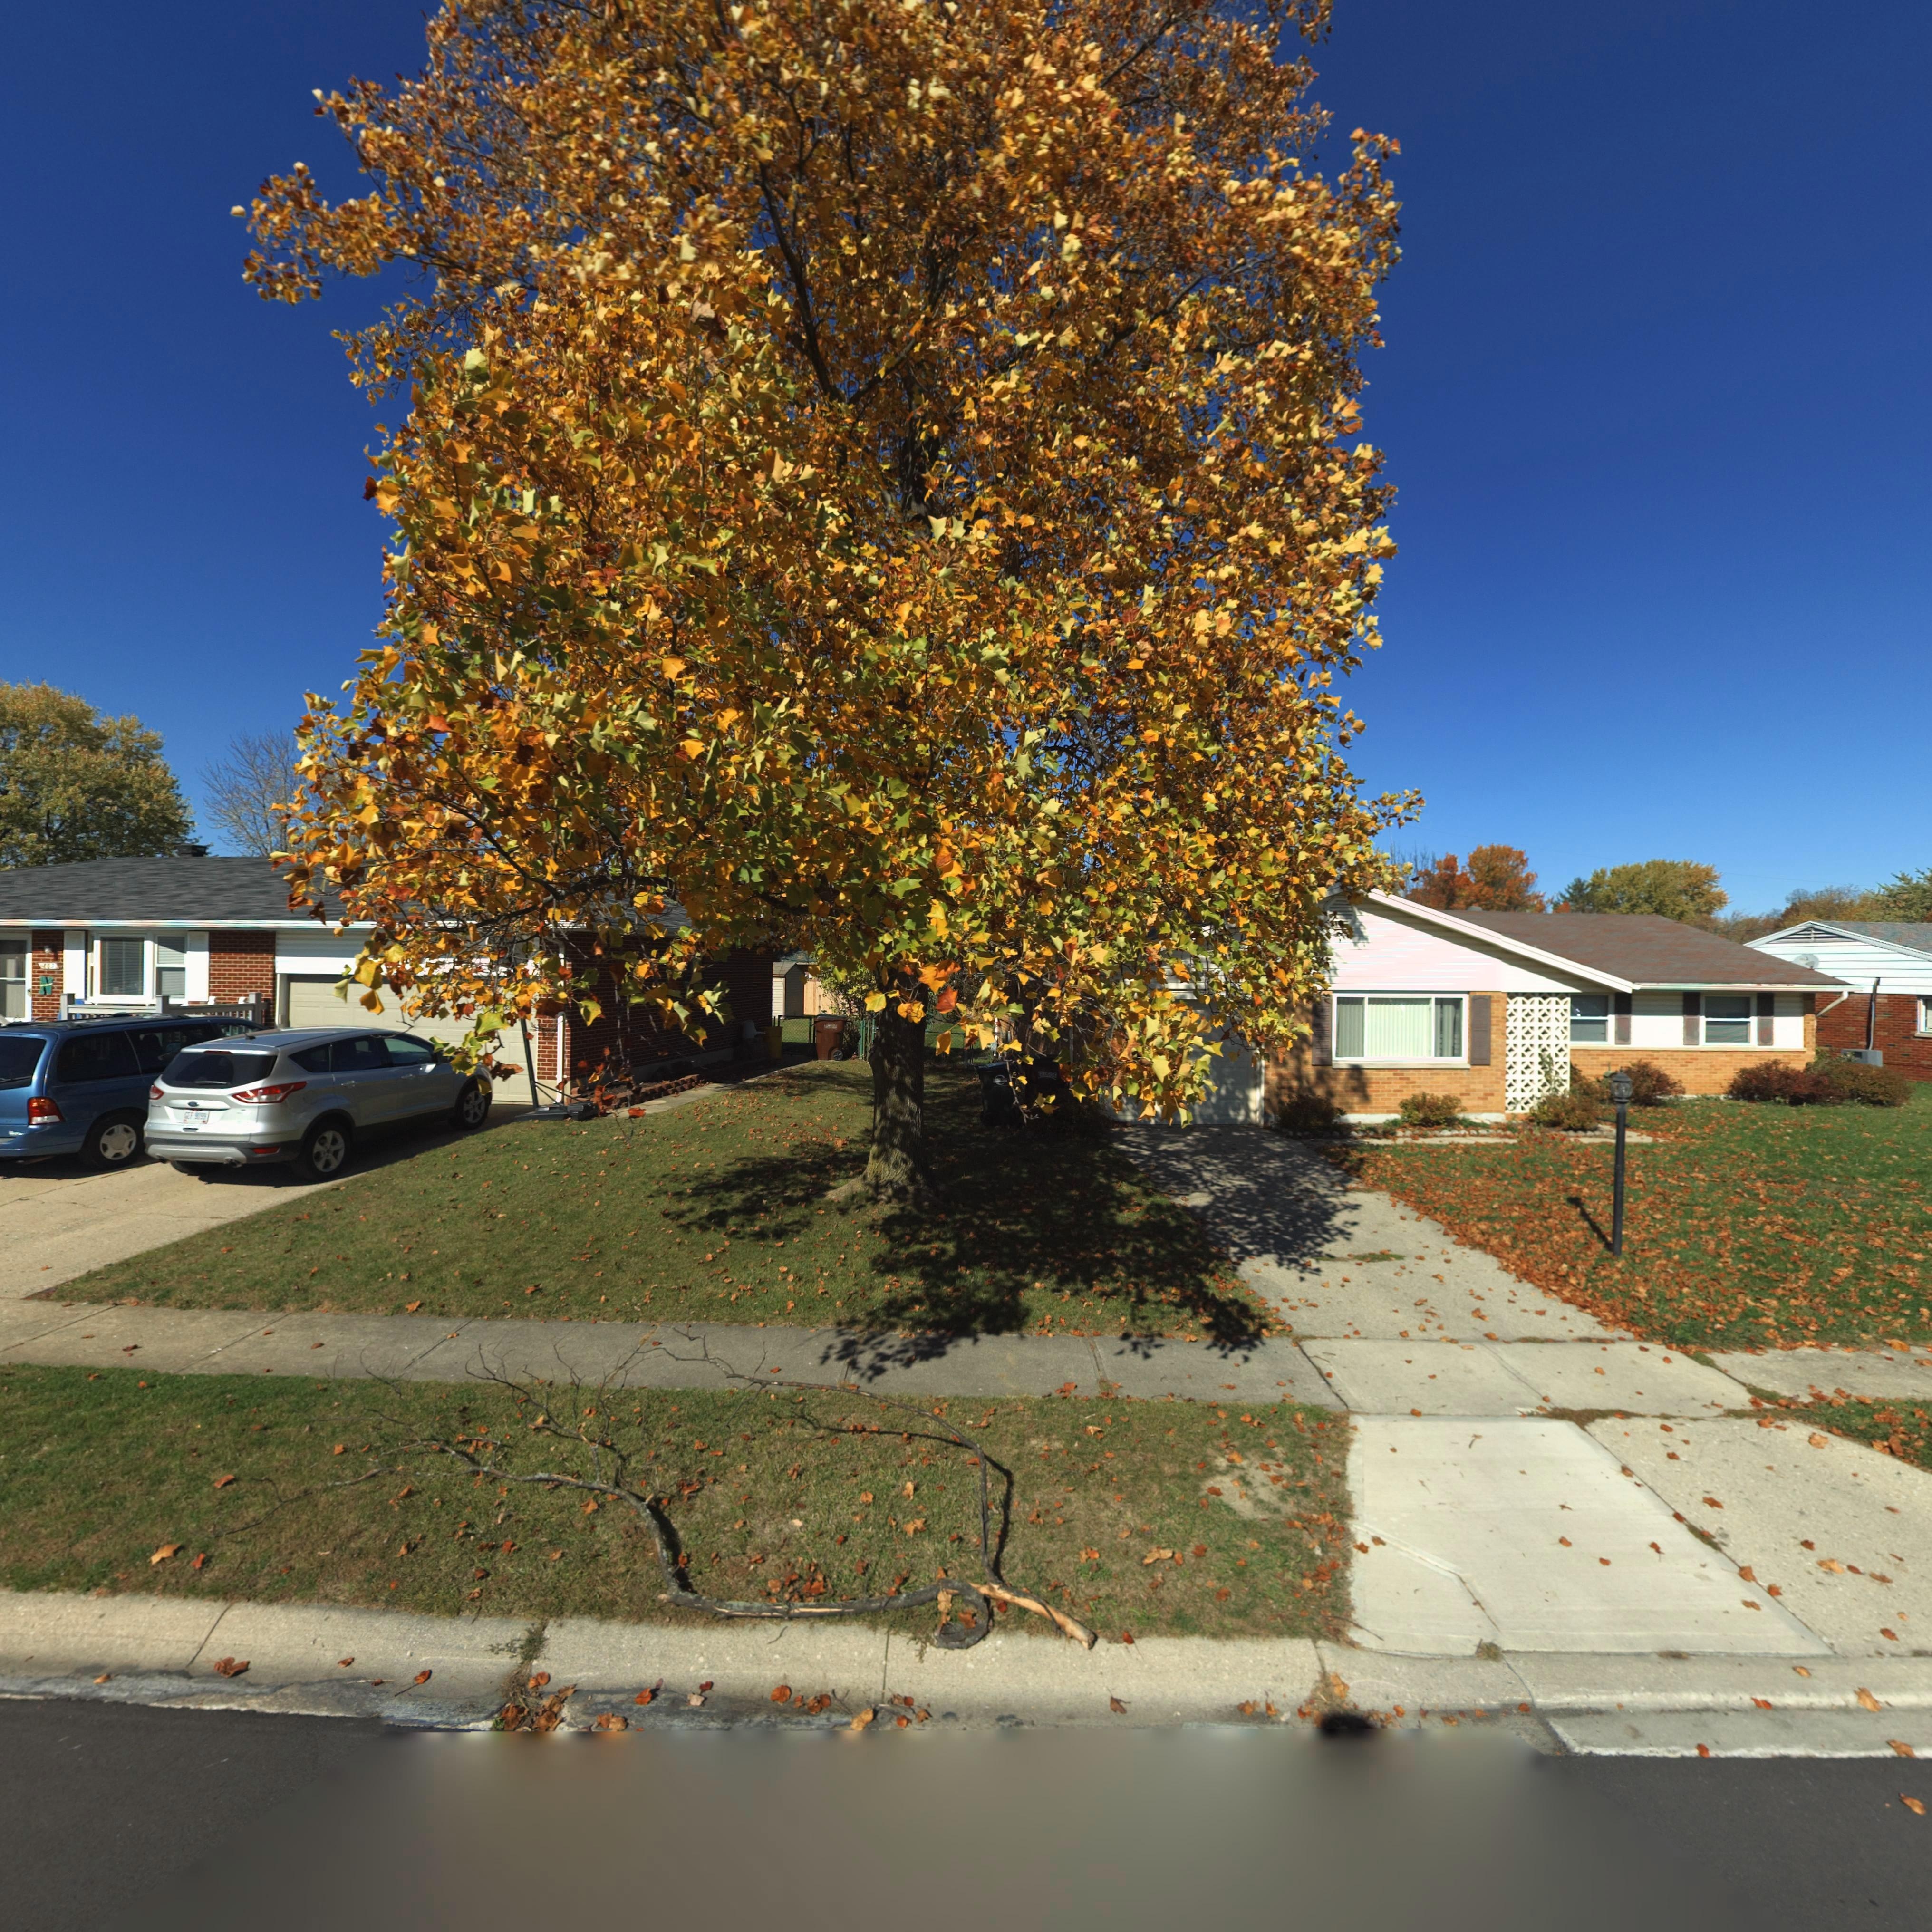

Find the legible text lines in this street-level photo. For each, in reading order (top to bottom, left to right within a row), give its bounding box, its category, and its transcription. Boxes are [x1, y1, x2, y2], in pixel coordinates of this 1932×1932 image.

[42, 963, 55, 968] StreetNumber: 80*